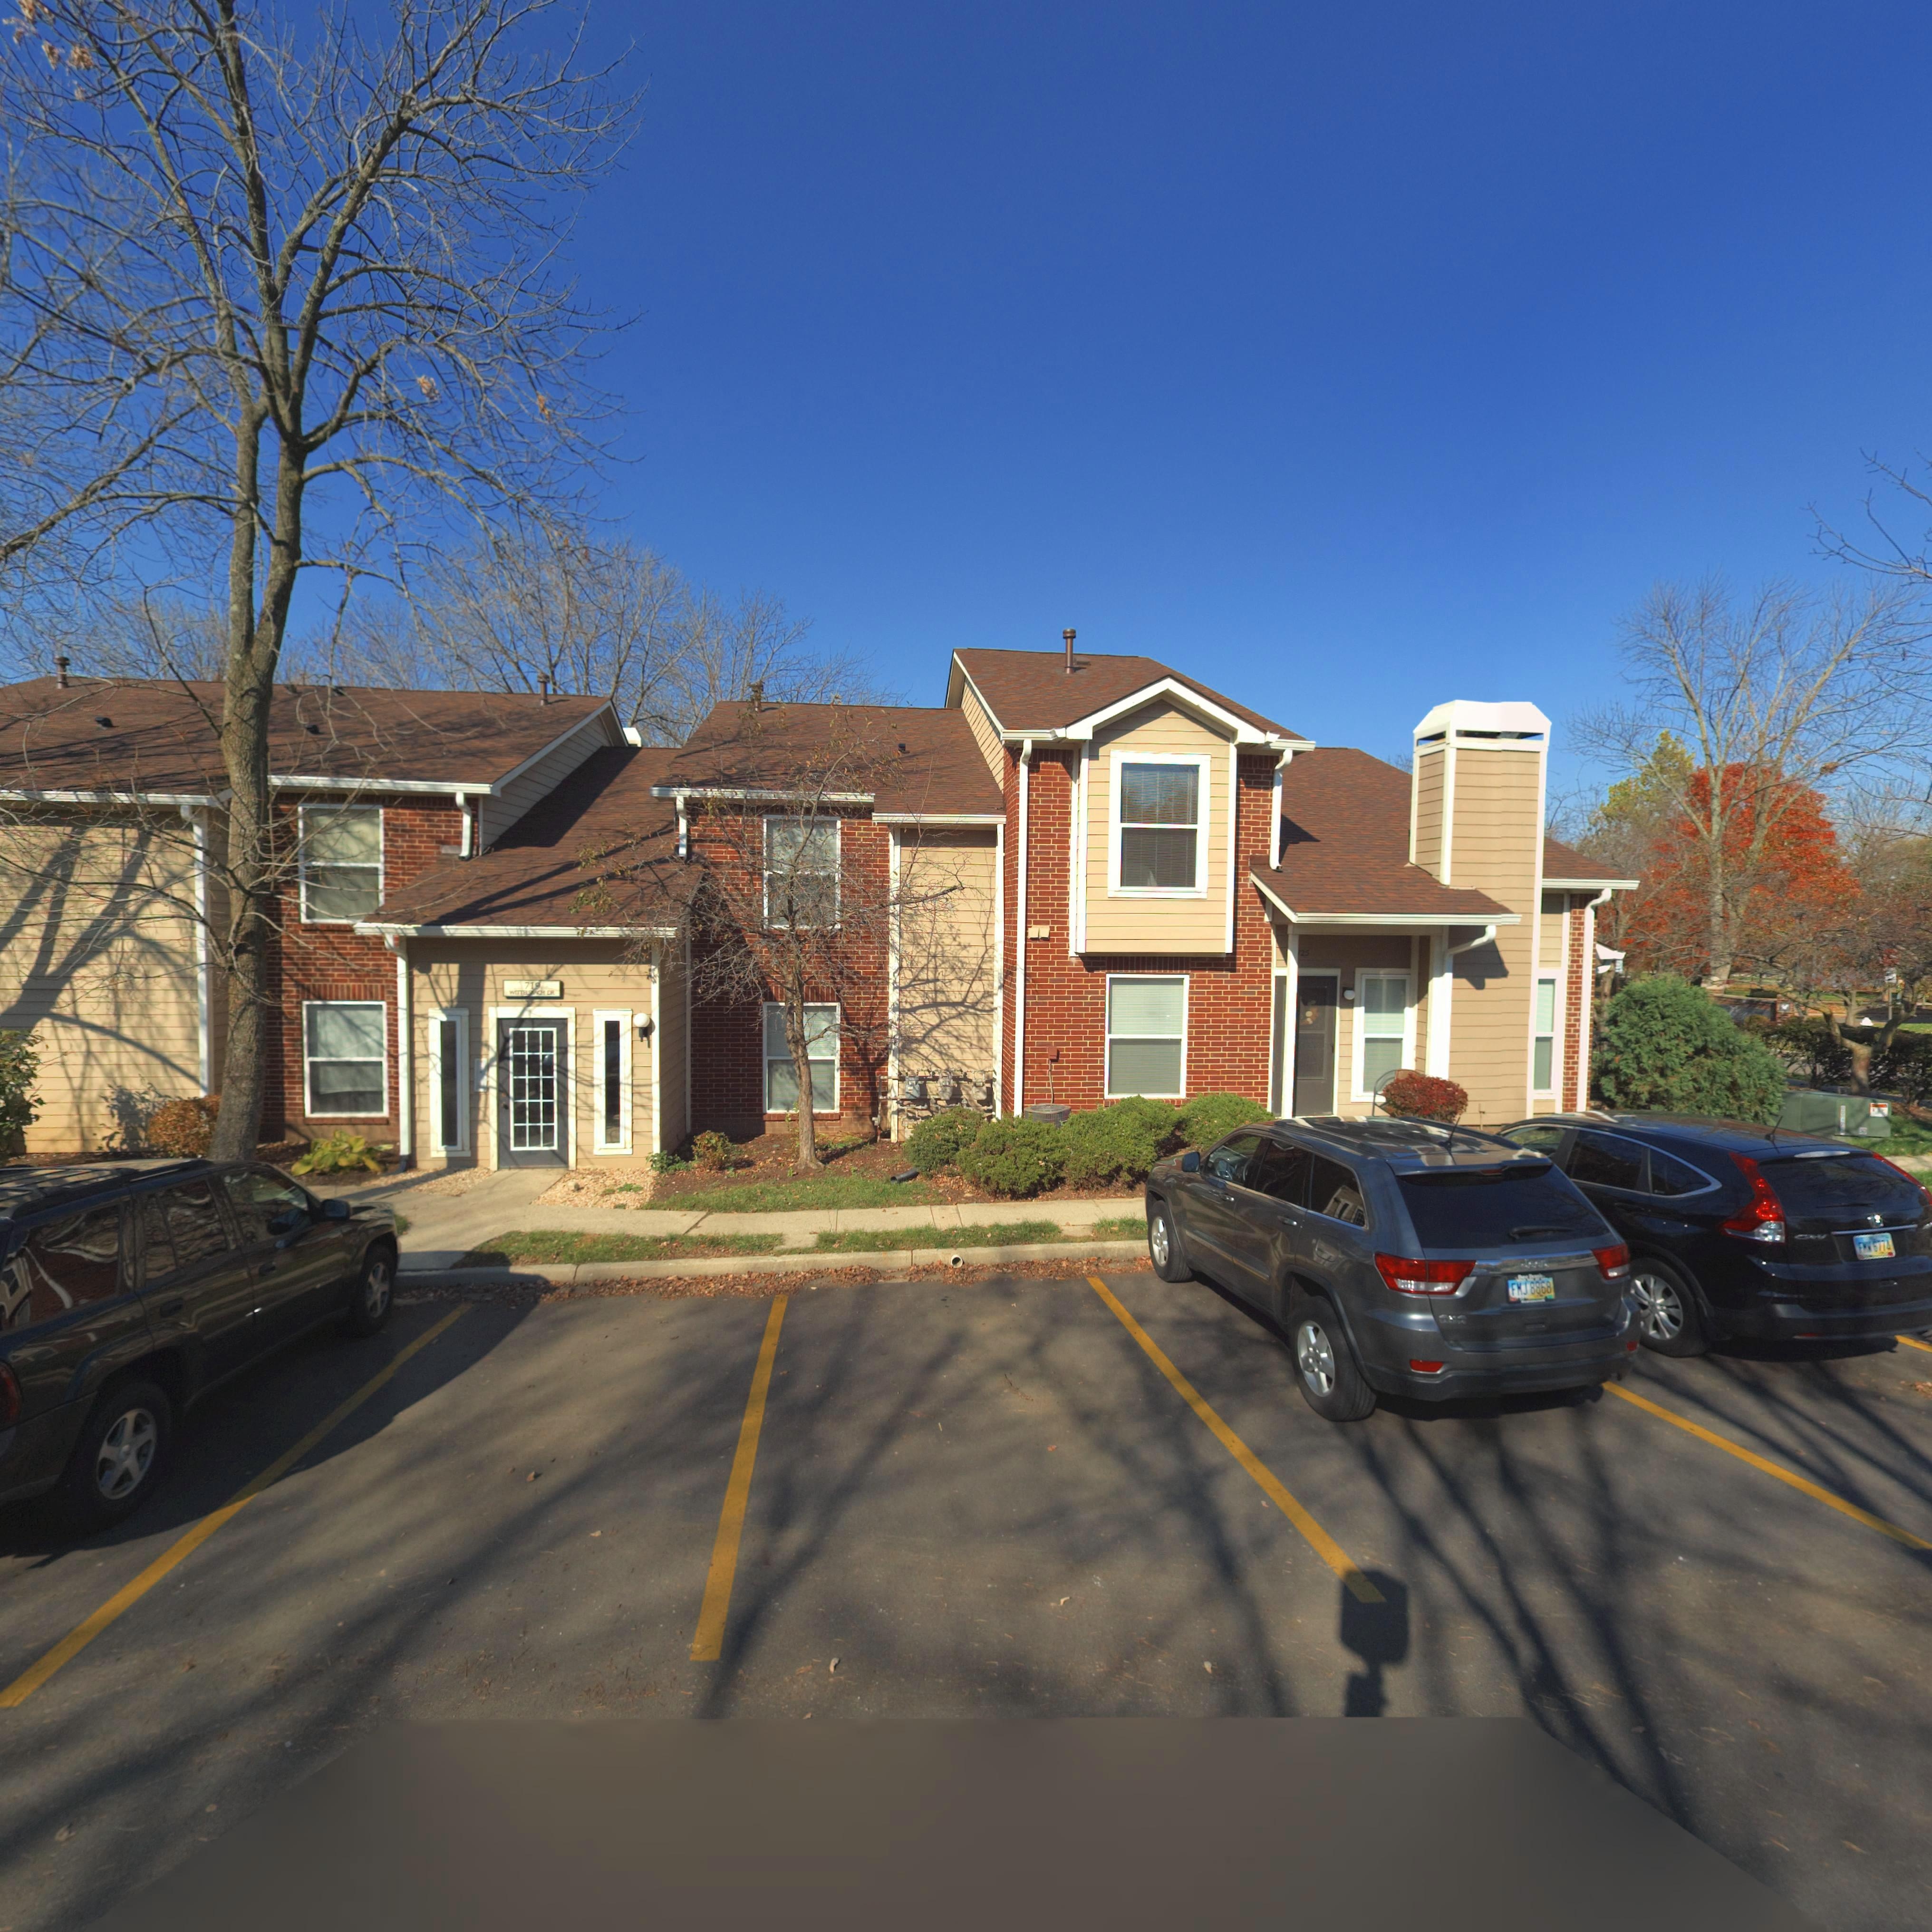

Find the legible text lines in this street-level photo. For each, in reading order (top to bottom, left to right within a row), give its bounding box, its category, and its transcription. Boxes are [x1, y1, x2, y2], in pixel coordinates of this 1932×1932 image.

[523, 981, 541, 991] StreetNumber: 719
[1510, 1279, 1554, 1298] None: FMJ 8868